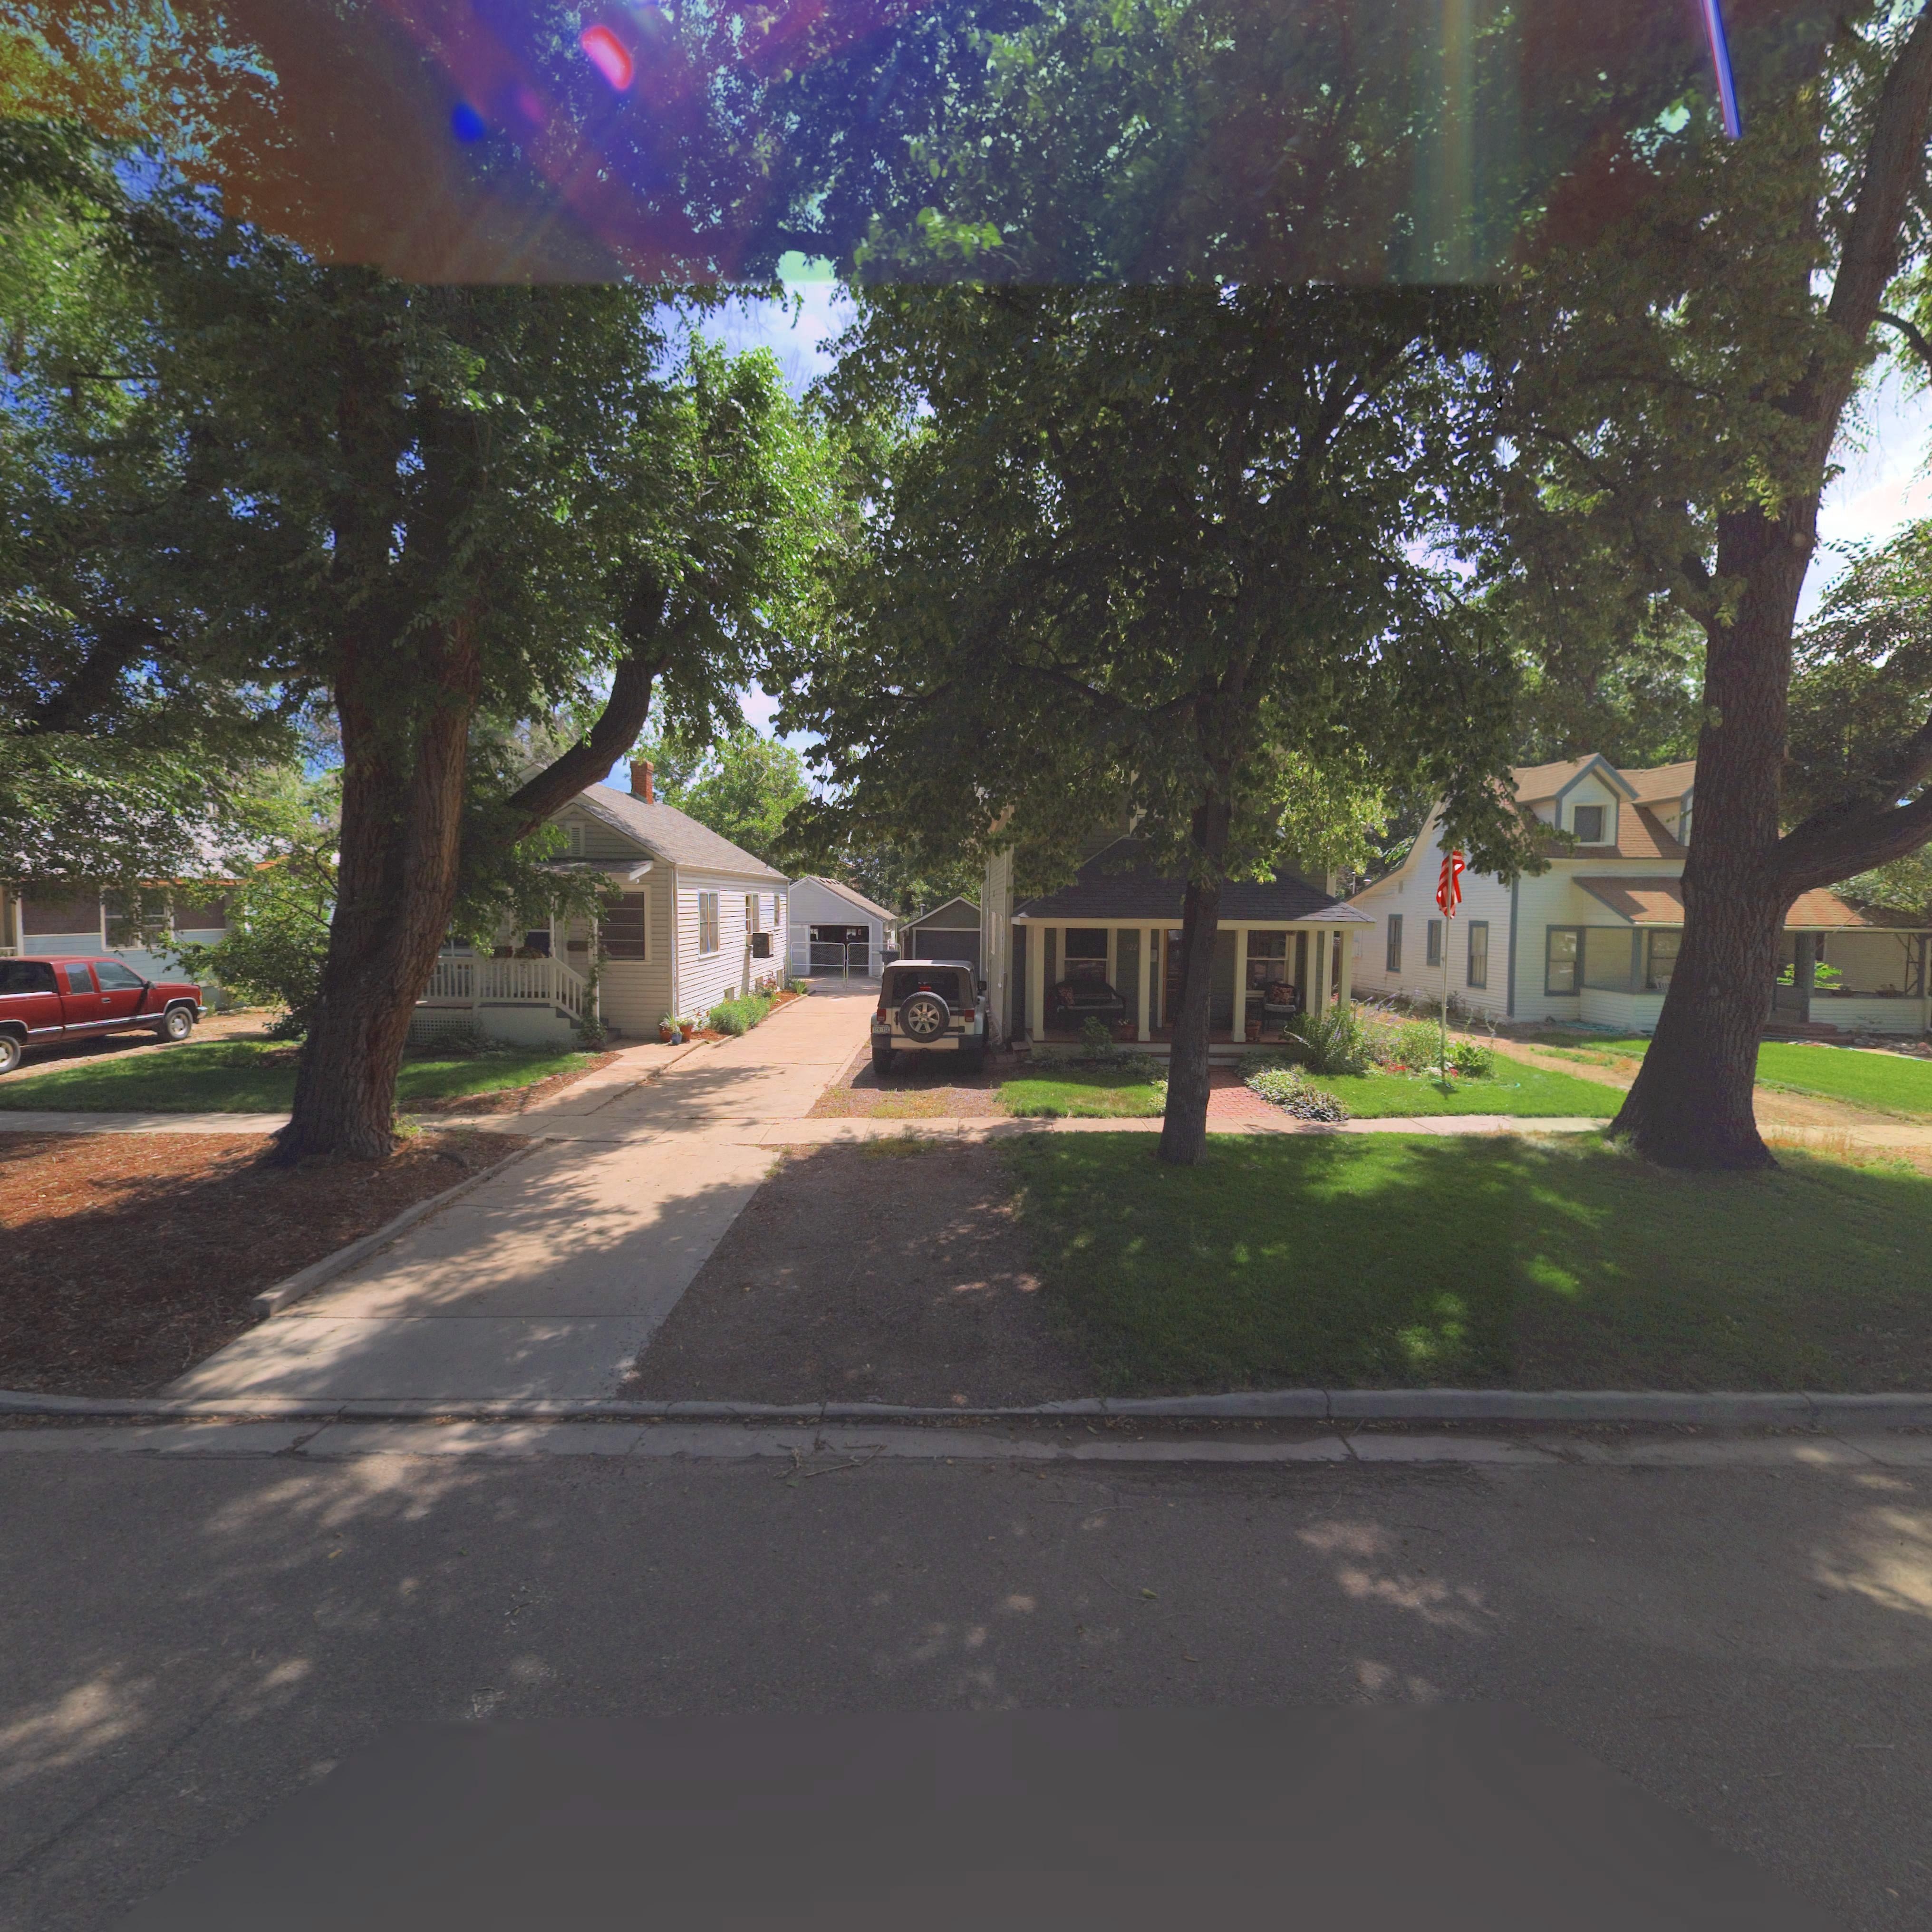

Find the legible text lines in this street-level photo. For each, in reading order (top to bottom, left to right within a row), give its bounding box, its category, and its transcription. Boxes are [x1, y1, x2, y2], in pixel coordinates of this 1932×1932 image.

[1125, 943, 1138, 950] StreetNumber: 722